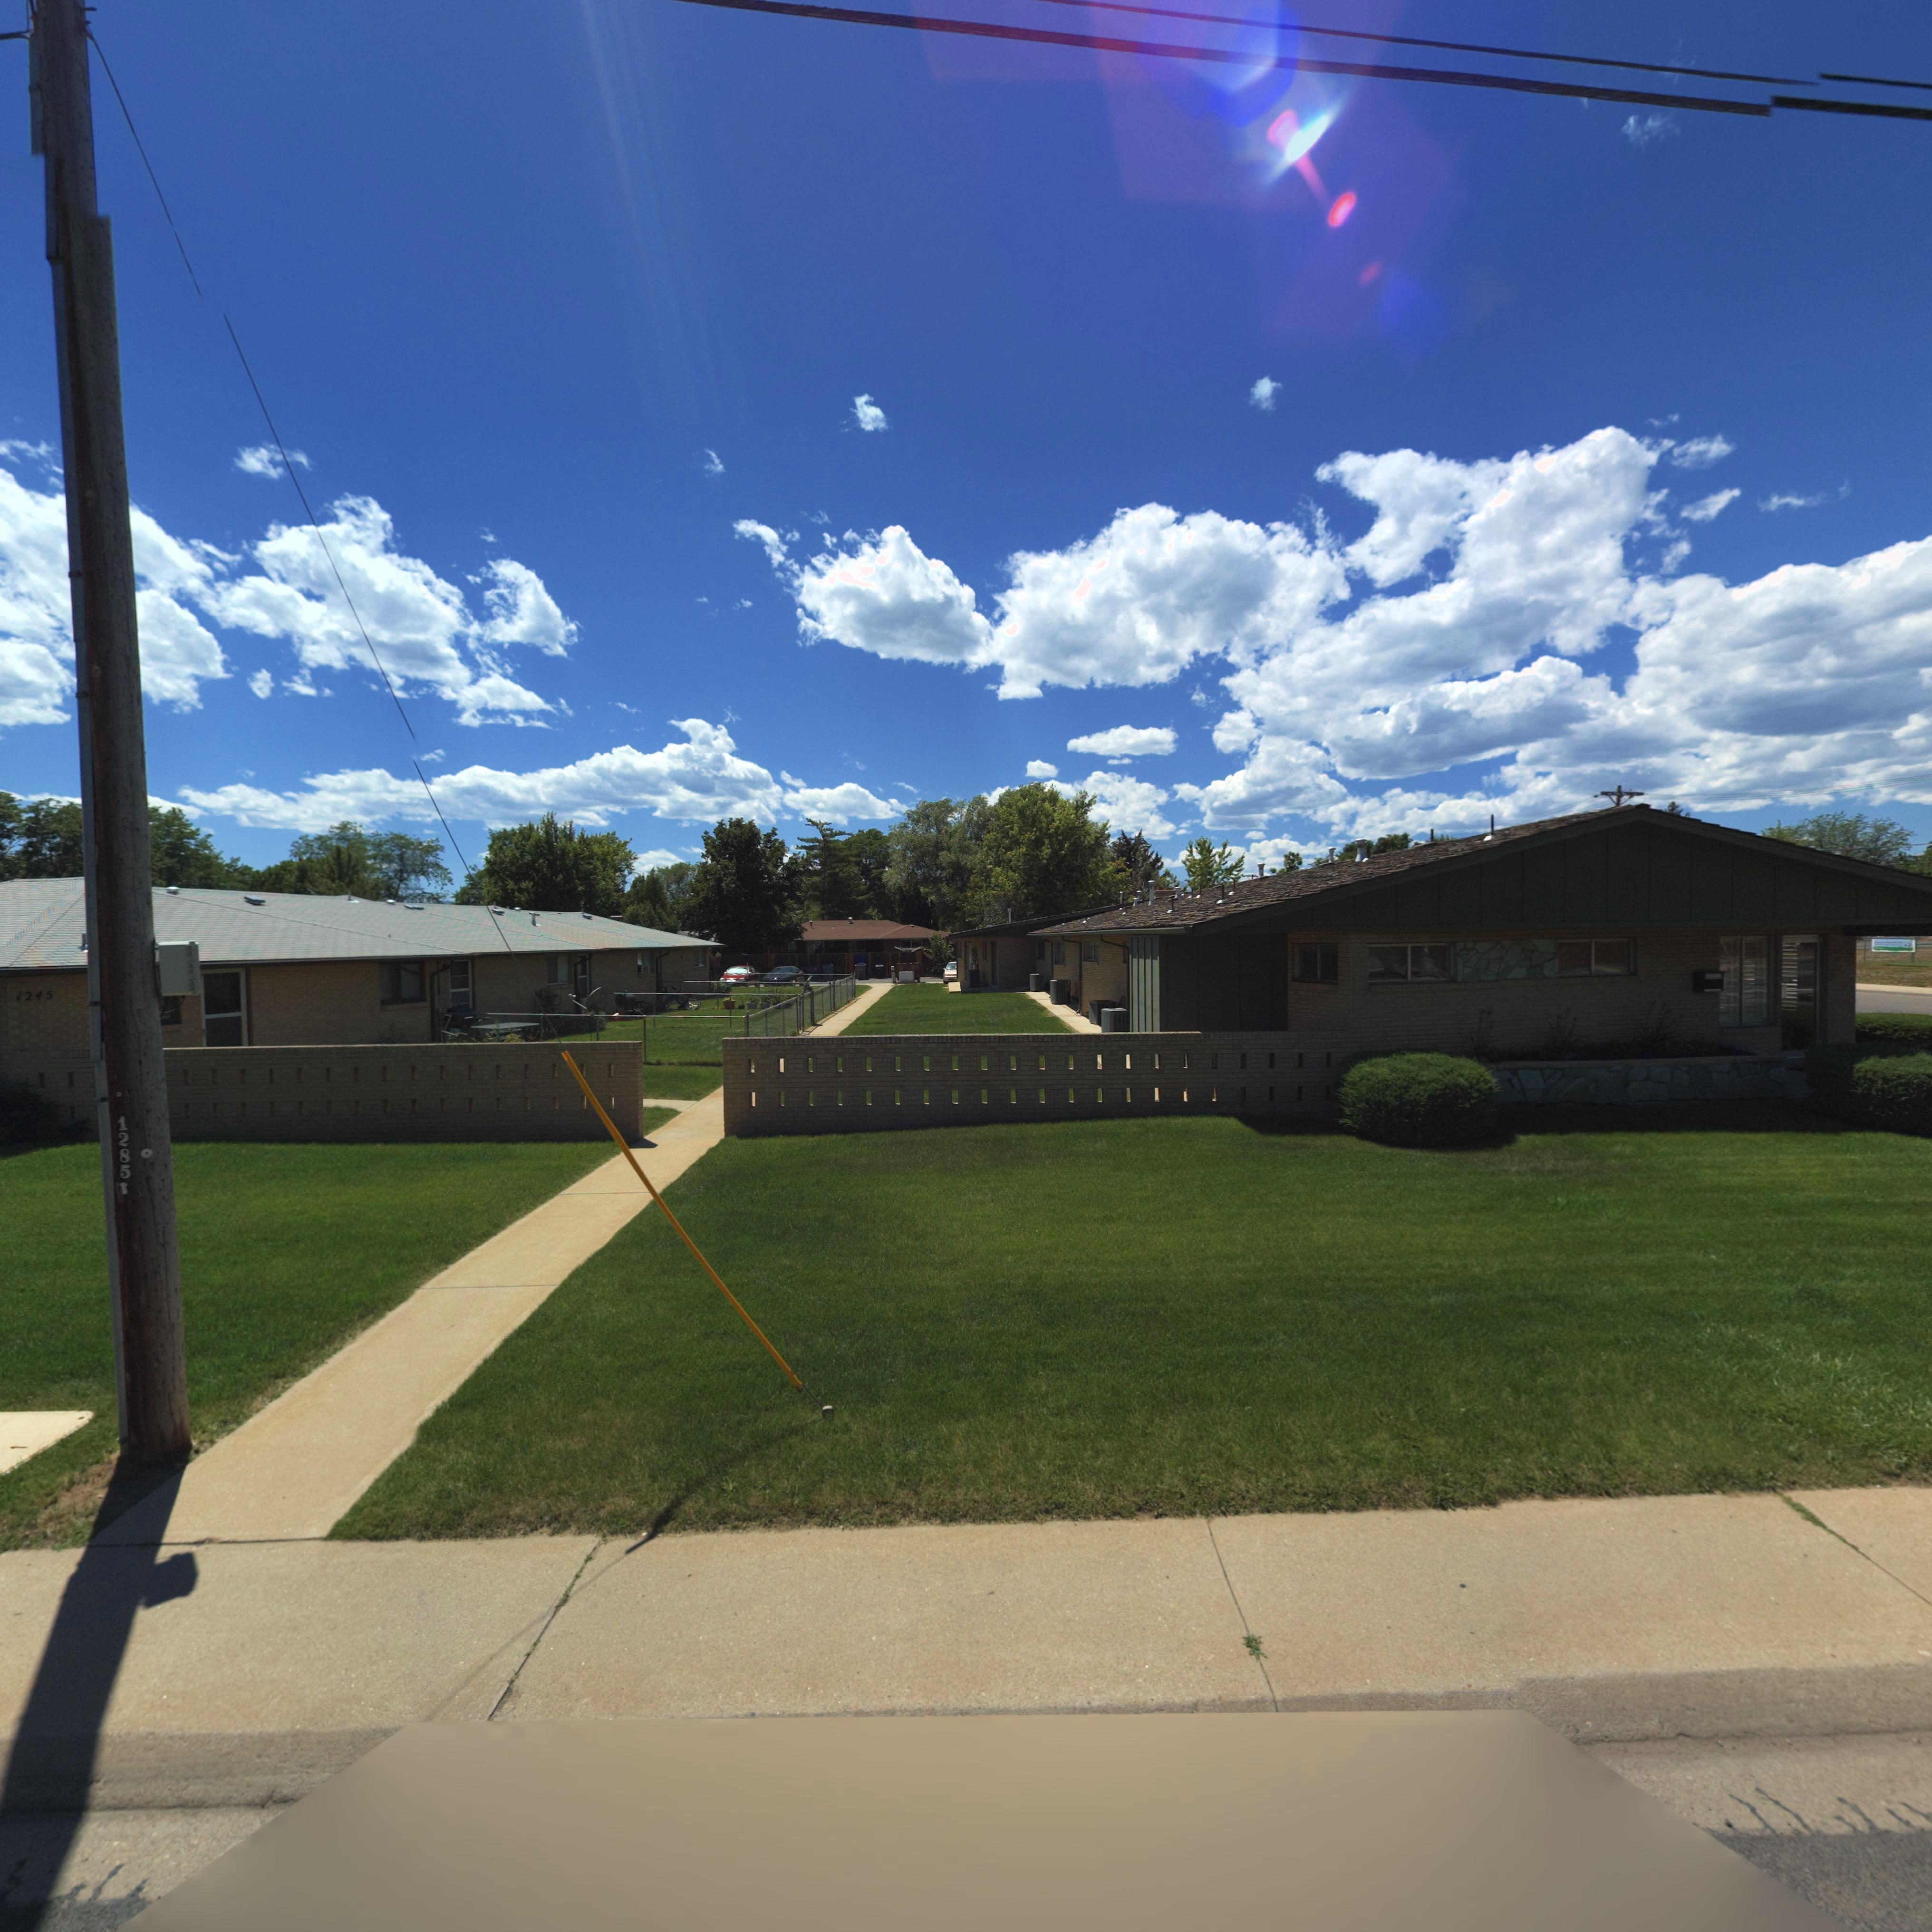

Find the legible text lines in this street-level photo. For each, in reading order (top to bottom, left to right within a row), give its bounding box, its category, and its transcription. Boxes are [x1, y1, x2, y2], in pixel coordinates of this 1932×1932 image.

[15, 989, 53, 1002] StreetNumber: 1245